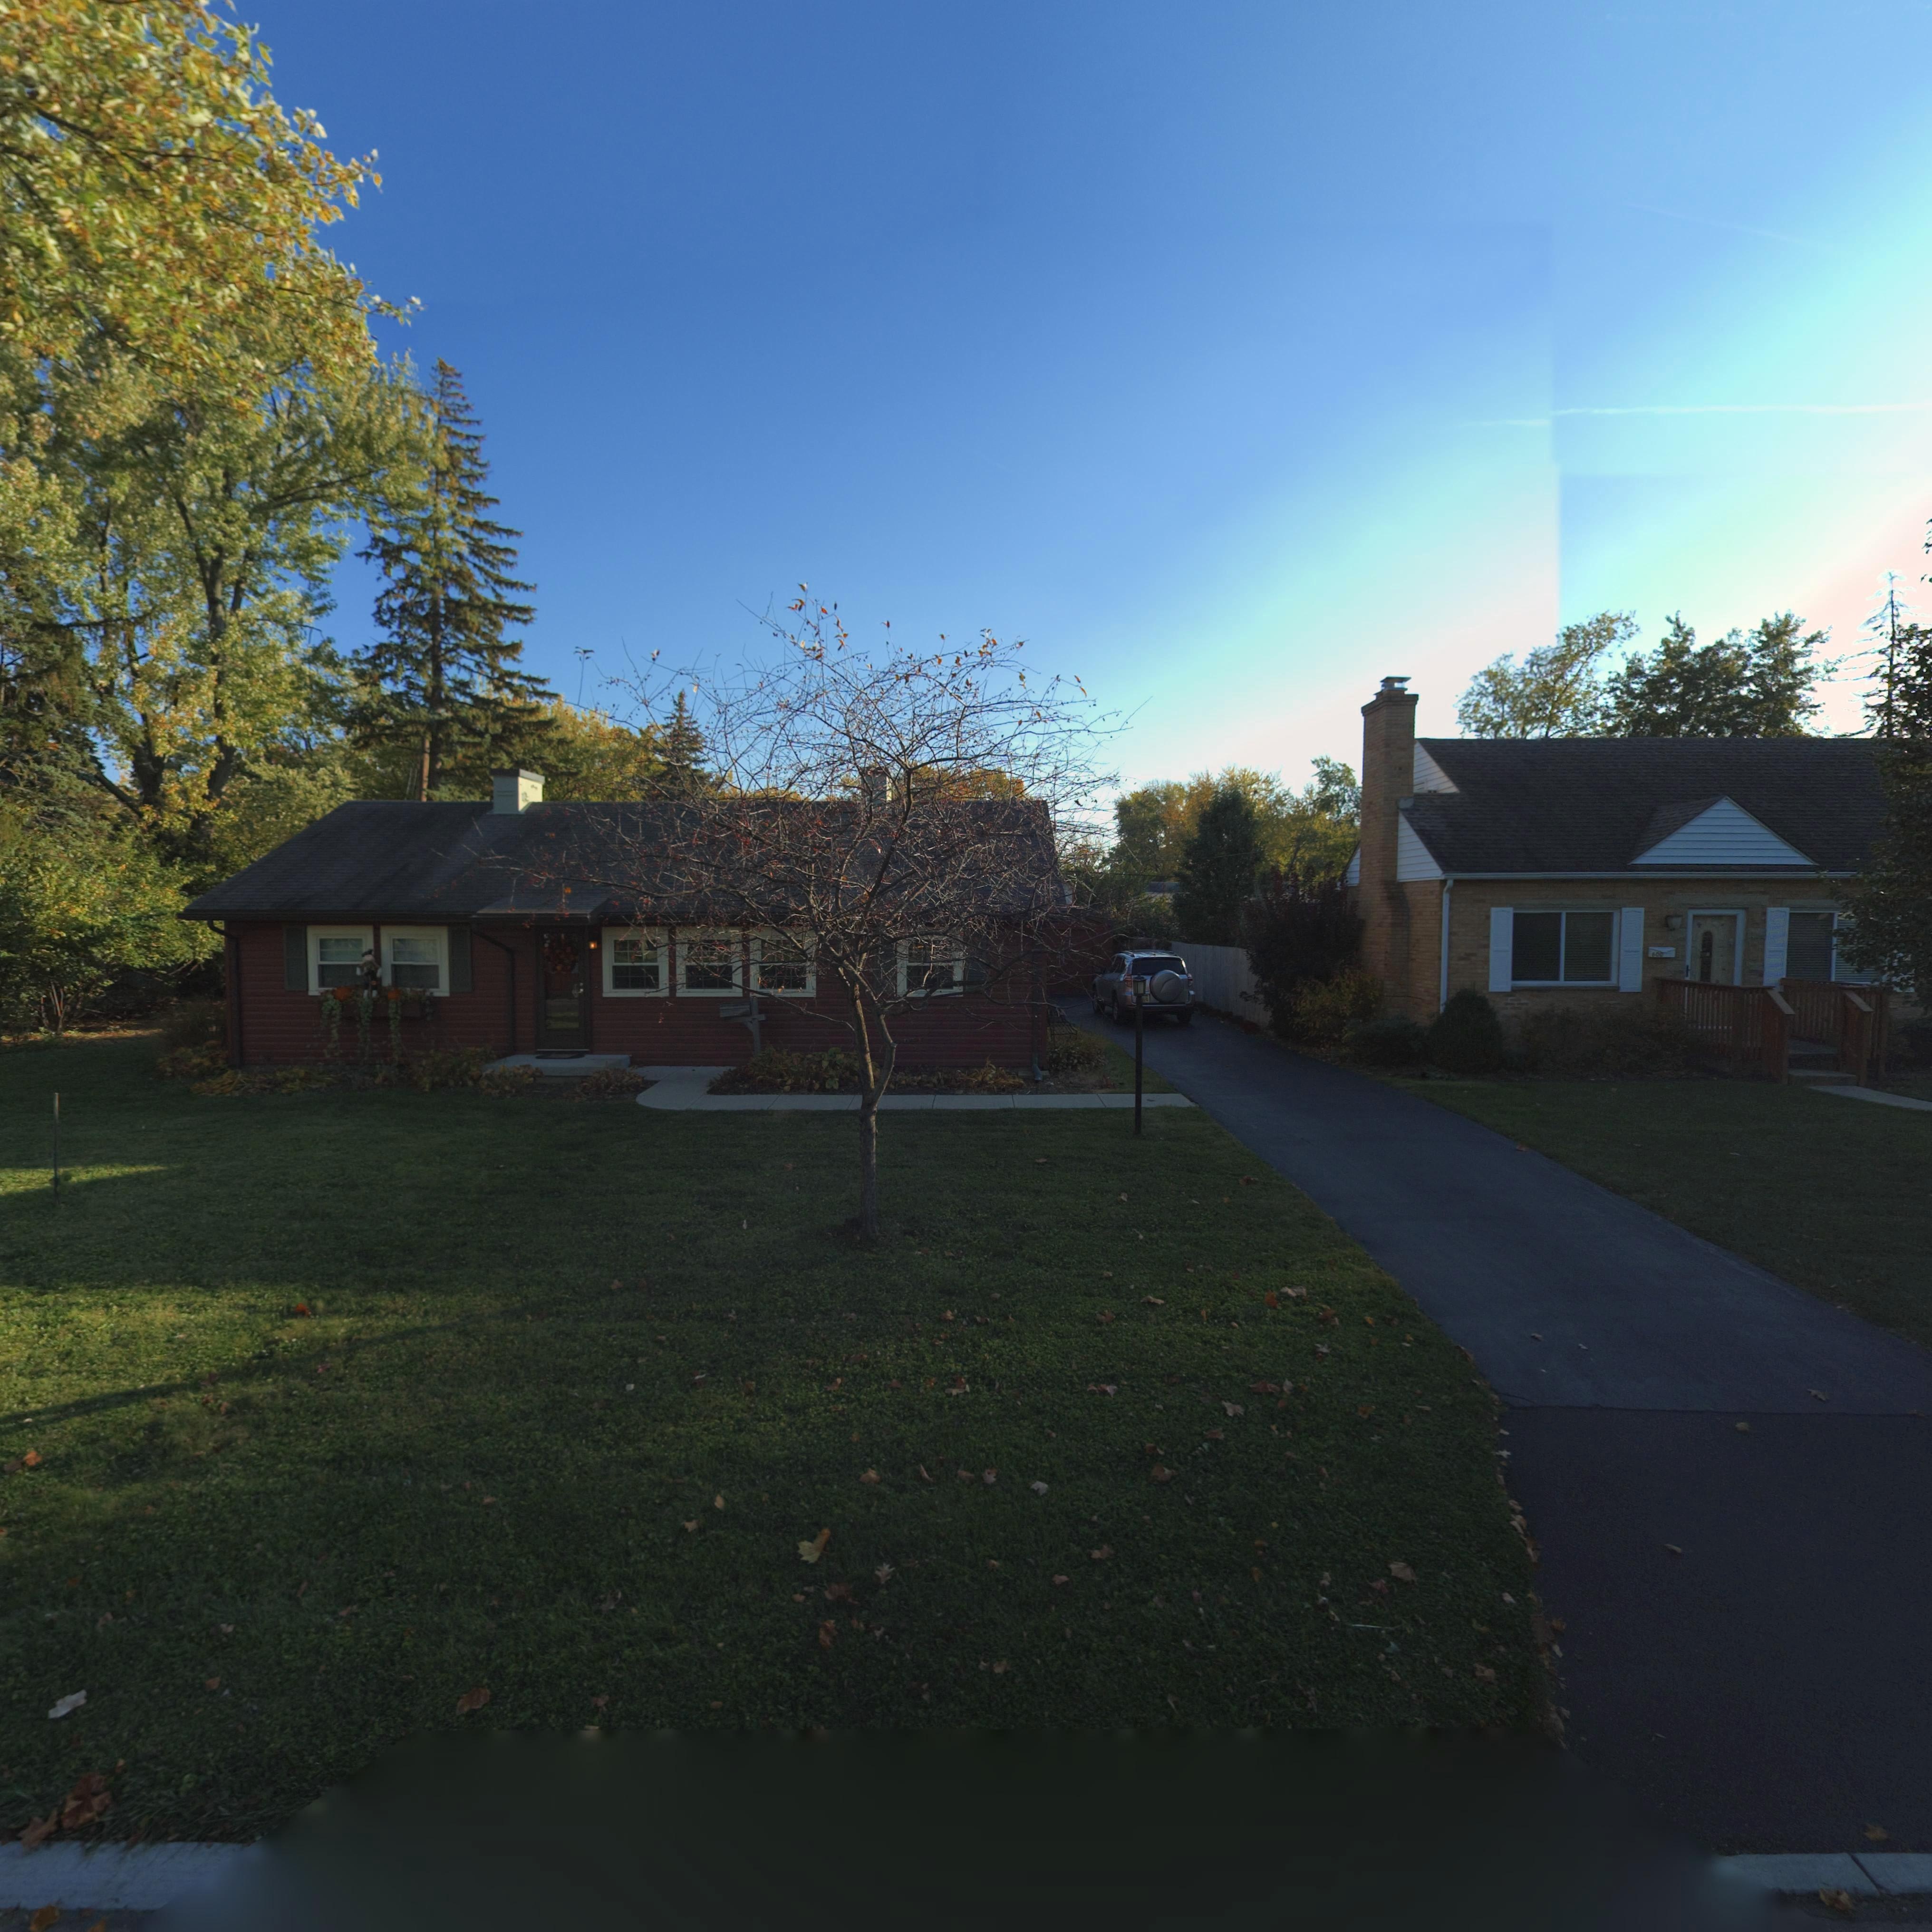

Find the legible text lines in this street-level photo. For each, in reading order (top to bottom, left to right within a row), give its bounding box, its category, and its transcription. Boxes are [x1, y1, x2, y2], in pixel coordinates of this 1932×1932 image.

[1651, 951, 1664, 958] StreetNumber: 600